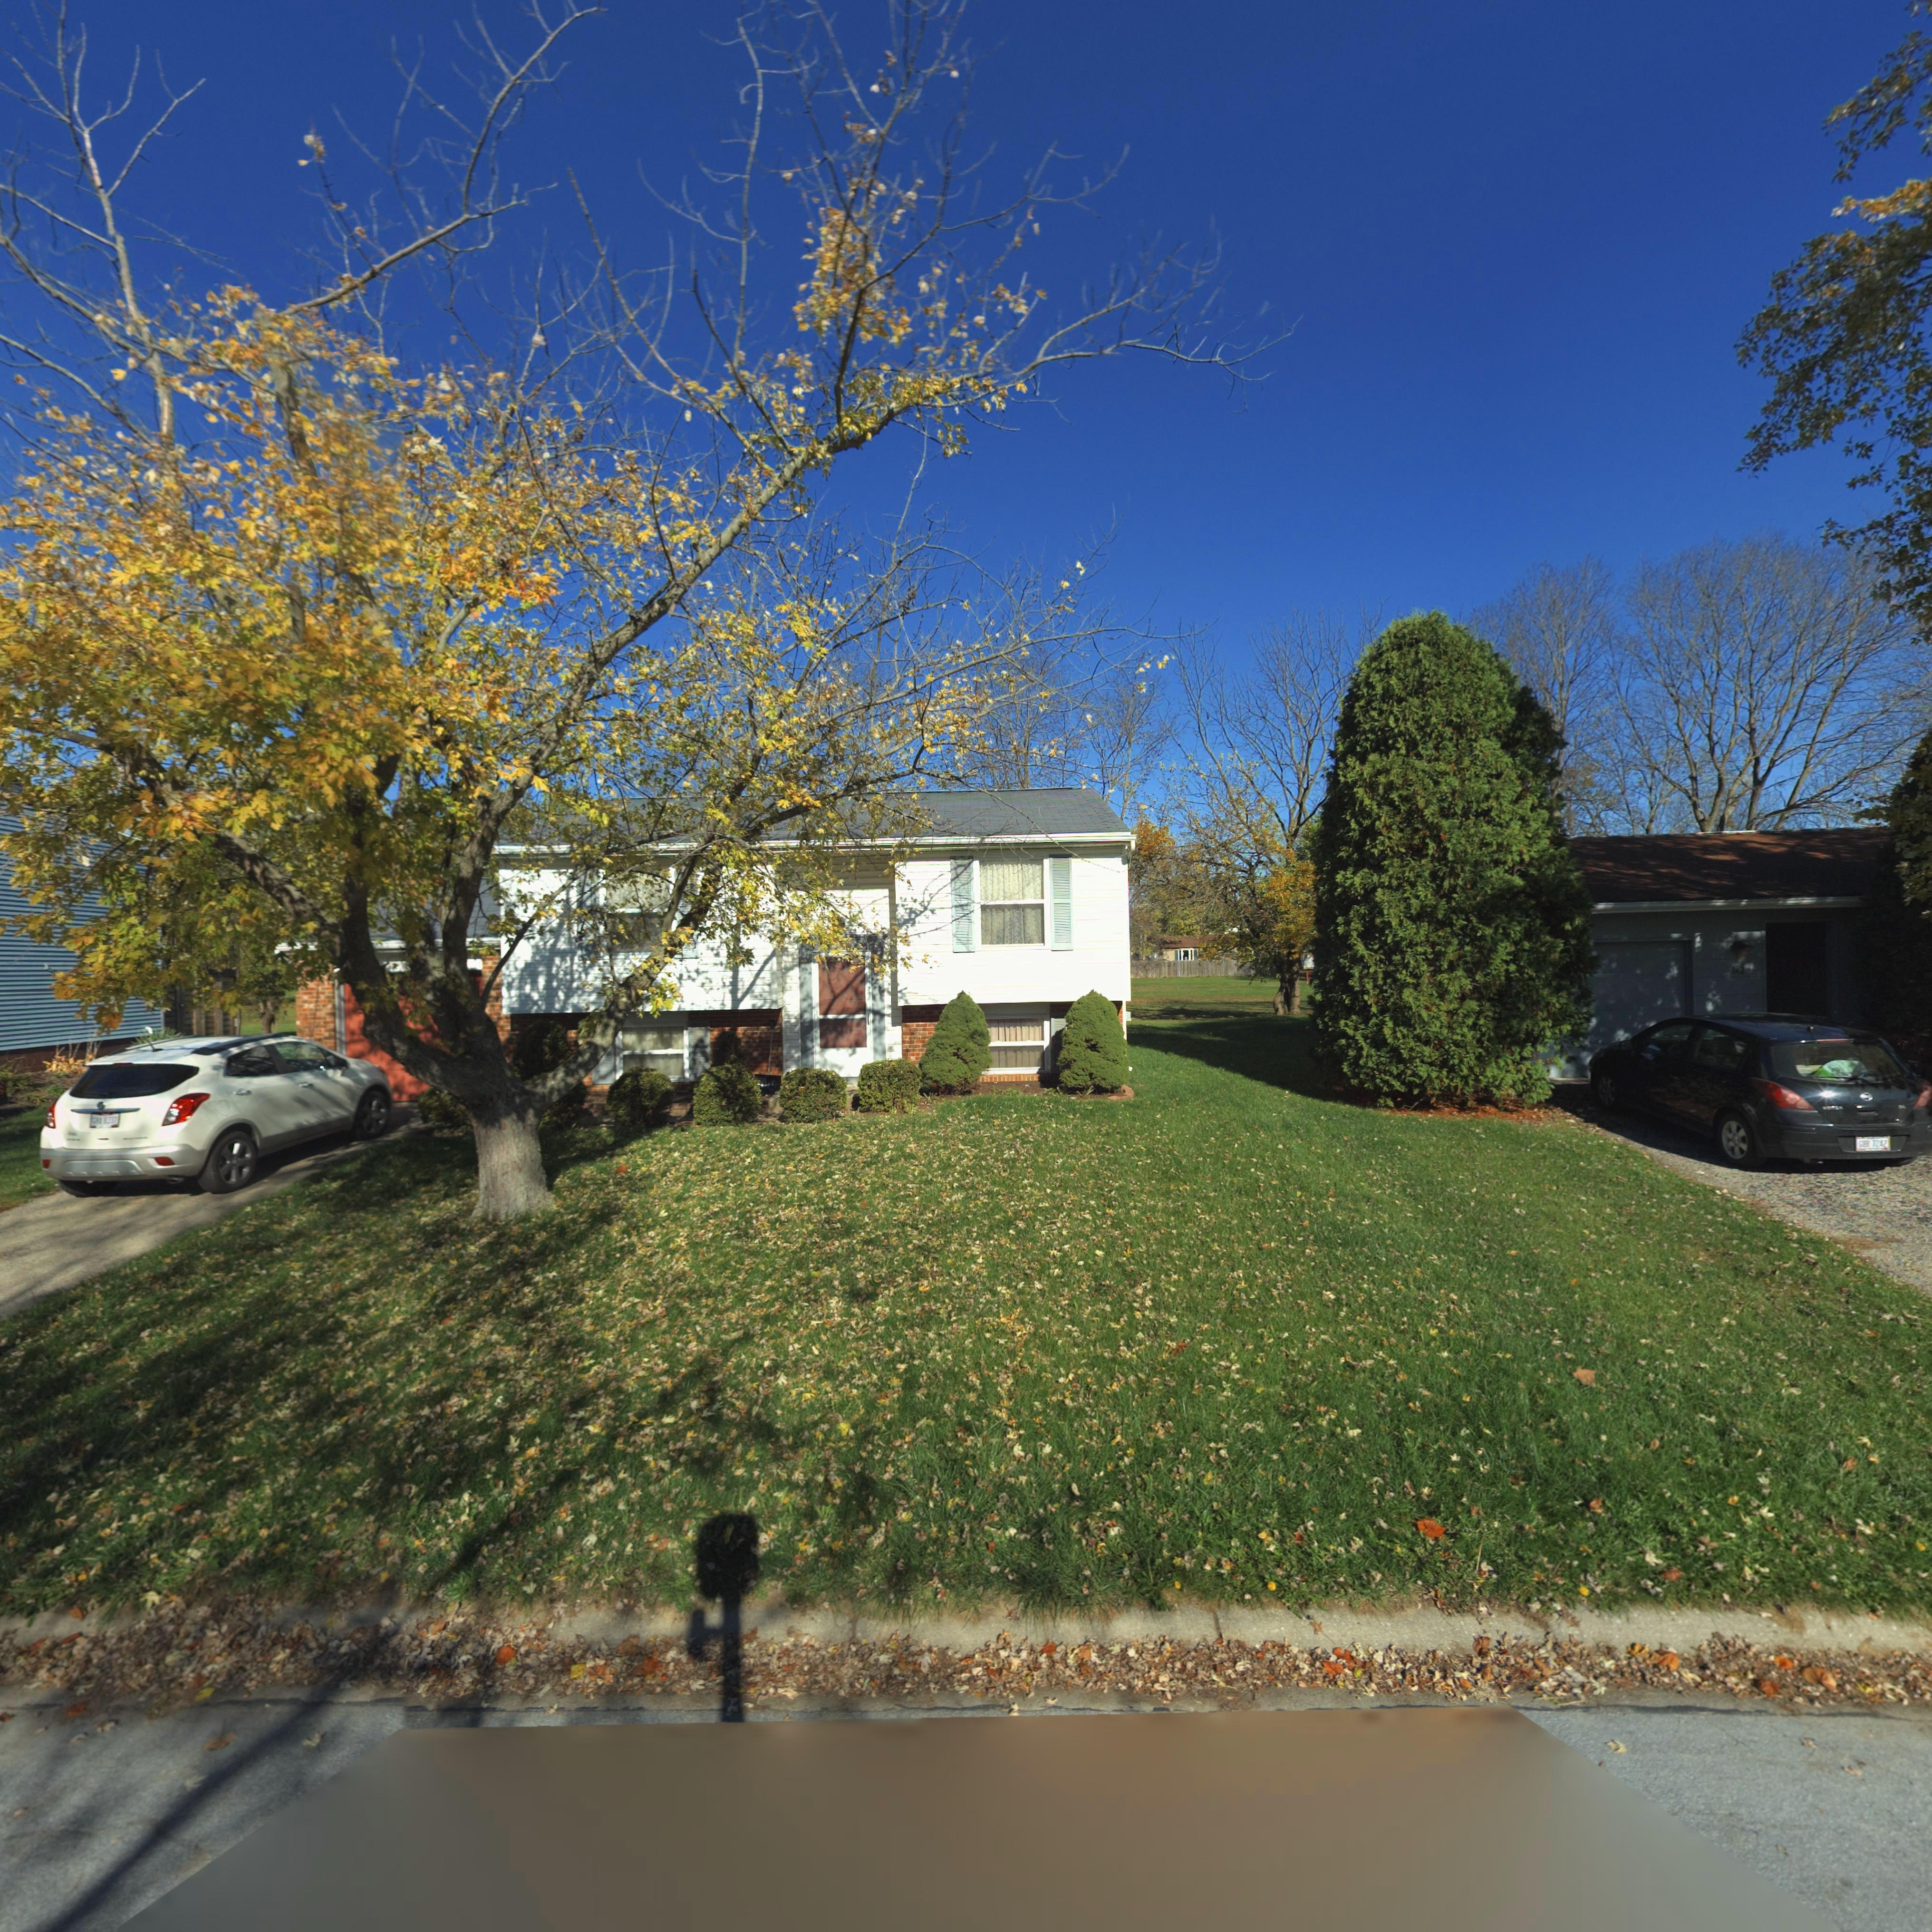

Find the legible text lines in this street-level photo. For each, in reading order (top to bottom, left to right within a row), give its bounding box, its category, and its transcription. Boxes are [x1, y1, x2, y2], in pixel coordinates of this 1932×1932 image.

[1731, 966, 1745, 975] StreetNumber: 142